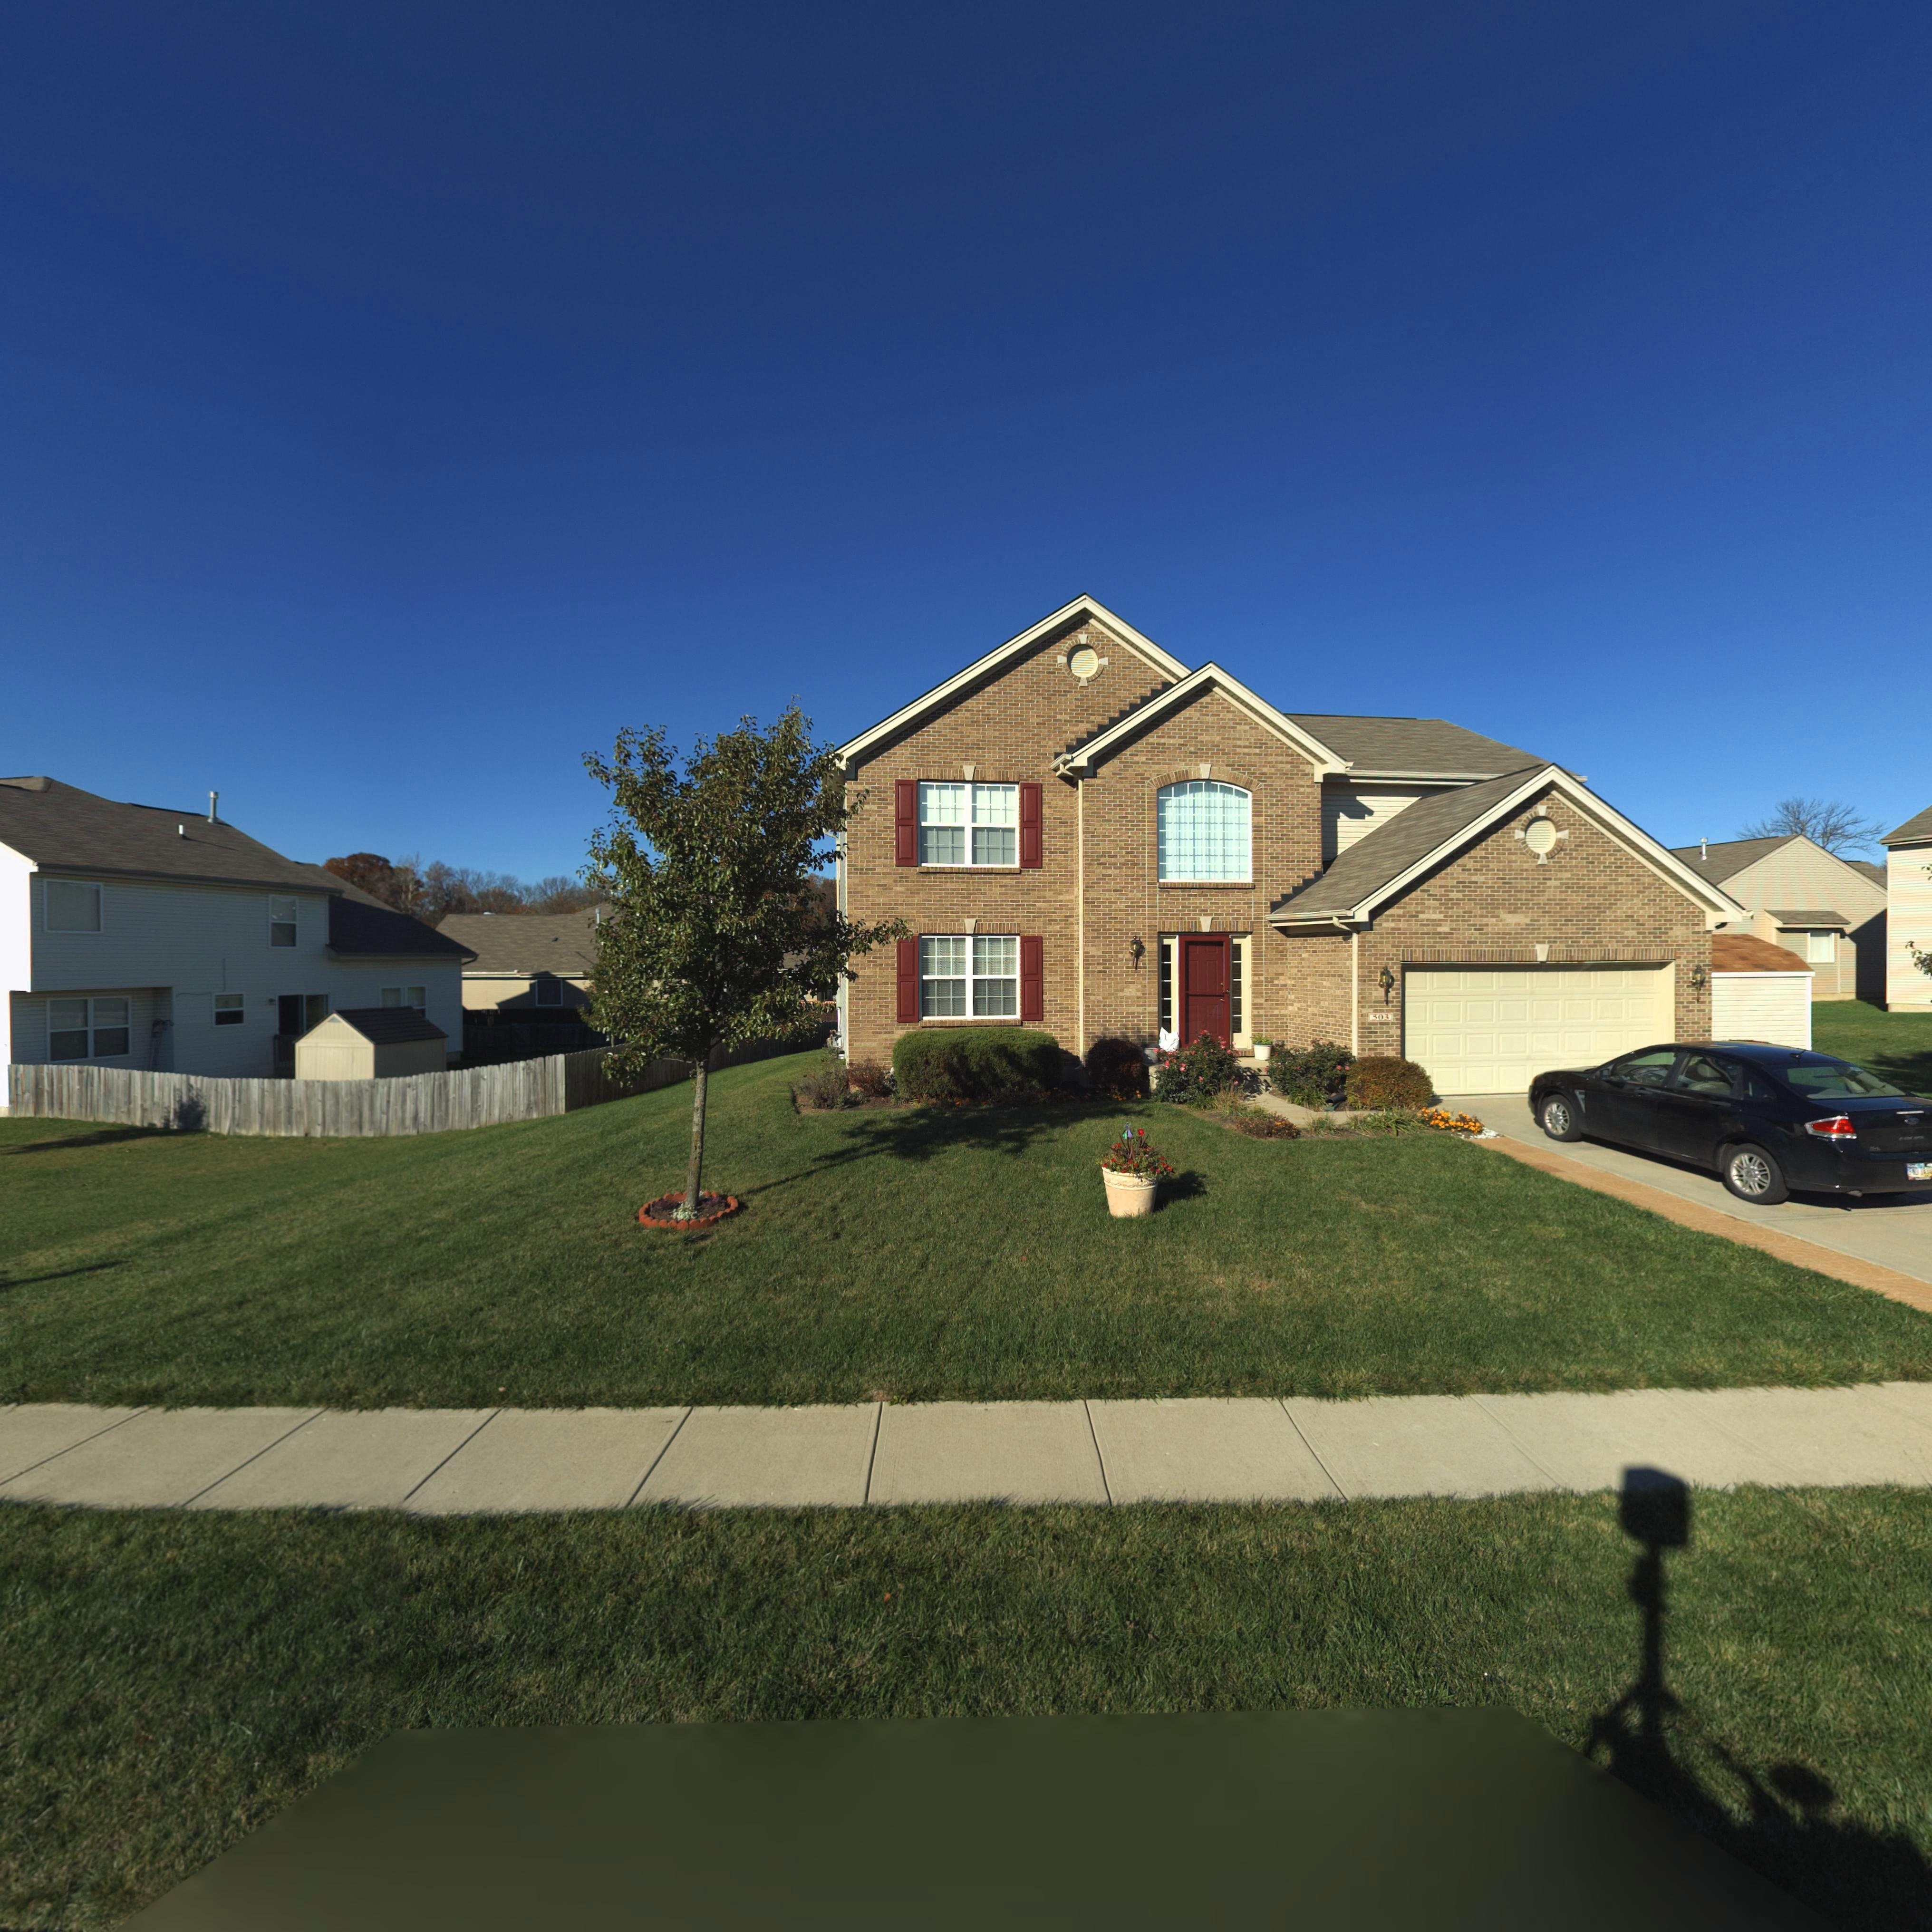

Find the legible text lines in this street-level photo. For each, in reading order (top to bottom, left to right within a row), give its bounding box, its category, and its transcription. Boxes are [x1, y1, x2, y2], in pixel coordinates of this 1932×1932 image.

[1372, 1013, 1390, 1022] StreetNumber: 503